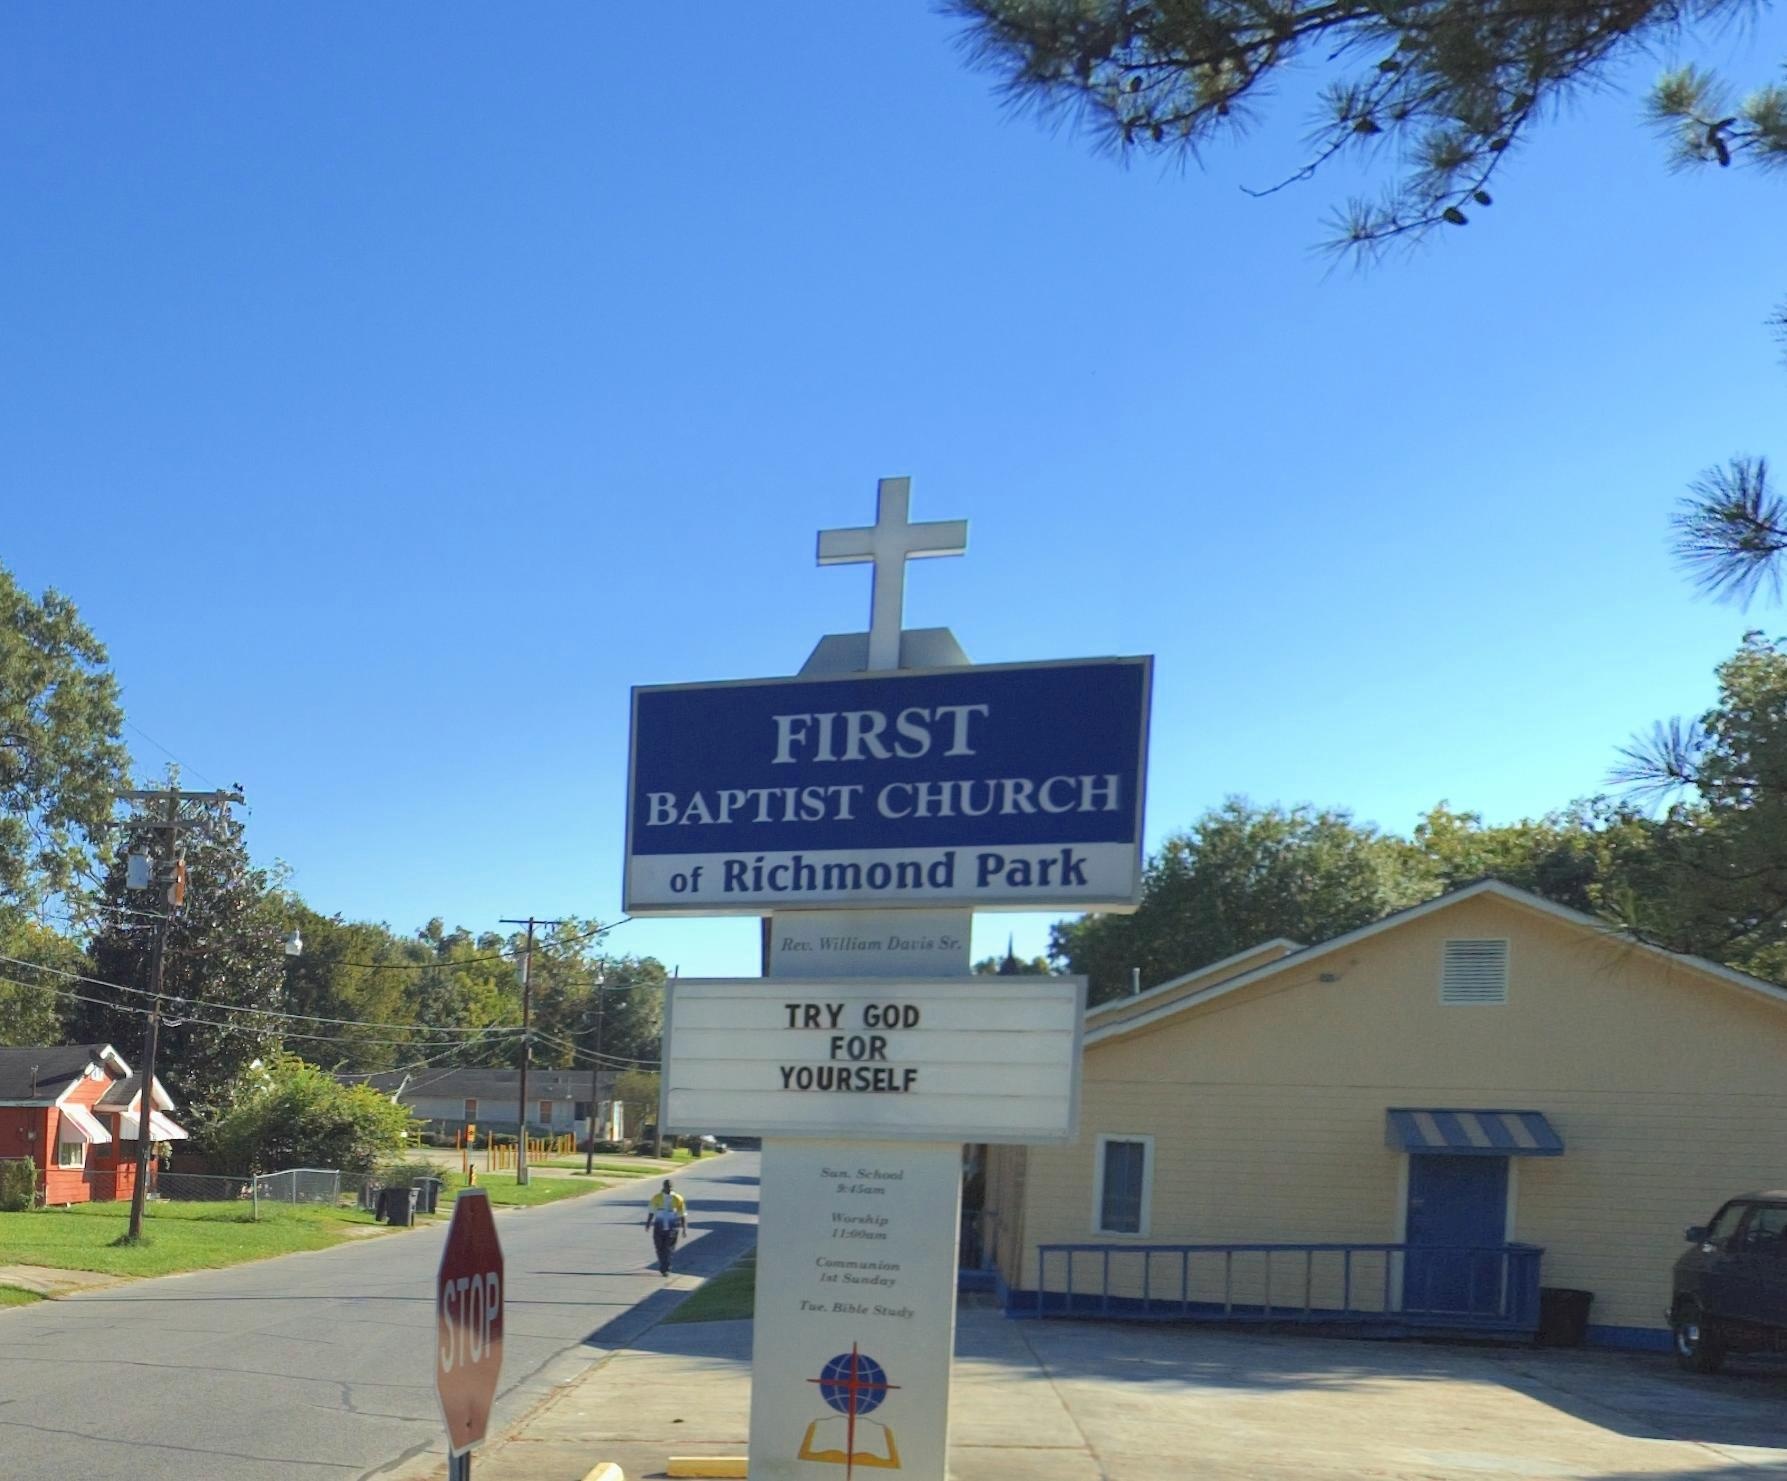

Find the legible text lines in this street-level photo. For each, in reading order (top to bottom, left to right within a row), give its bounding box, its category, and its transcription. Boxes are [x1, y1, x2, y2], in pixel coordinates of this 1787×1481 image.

[767, 699, 993, 769] BusinessName: FIRST
[641, 770, 1122, 830] BusinessName: BAPTIST CHURCH
[666, 845, 1093, 900] BusinessName: of Richmond Park
[774, 932, 967, 957] None: Rev. William Davis  Sr.
[782, 1000, 924, 1032] None: TRY GOD
[826, 1032, 893, 1064] None: FOR
[775, 1063, 921, 1096] None: YOURSELF
[816, 1163, 908, 1184] None: San. School
[832, 1182, 890, 1198] None: 9:45am
[828, 1226, 868, 1242] None: 11:00
[829, 1210, 892, 1230] None: Worship
[811, 1252, 902, 1275] None: Communion
[839, 1270, 899, 1292] None: Sunday
[793, 1295, 918, 1323] None: Tue. Bible Study
[437, 1266, 504, 1383] None: STOP